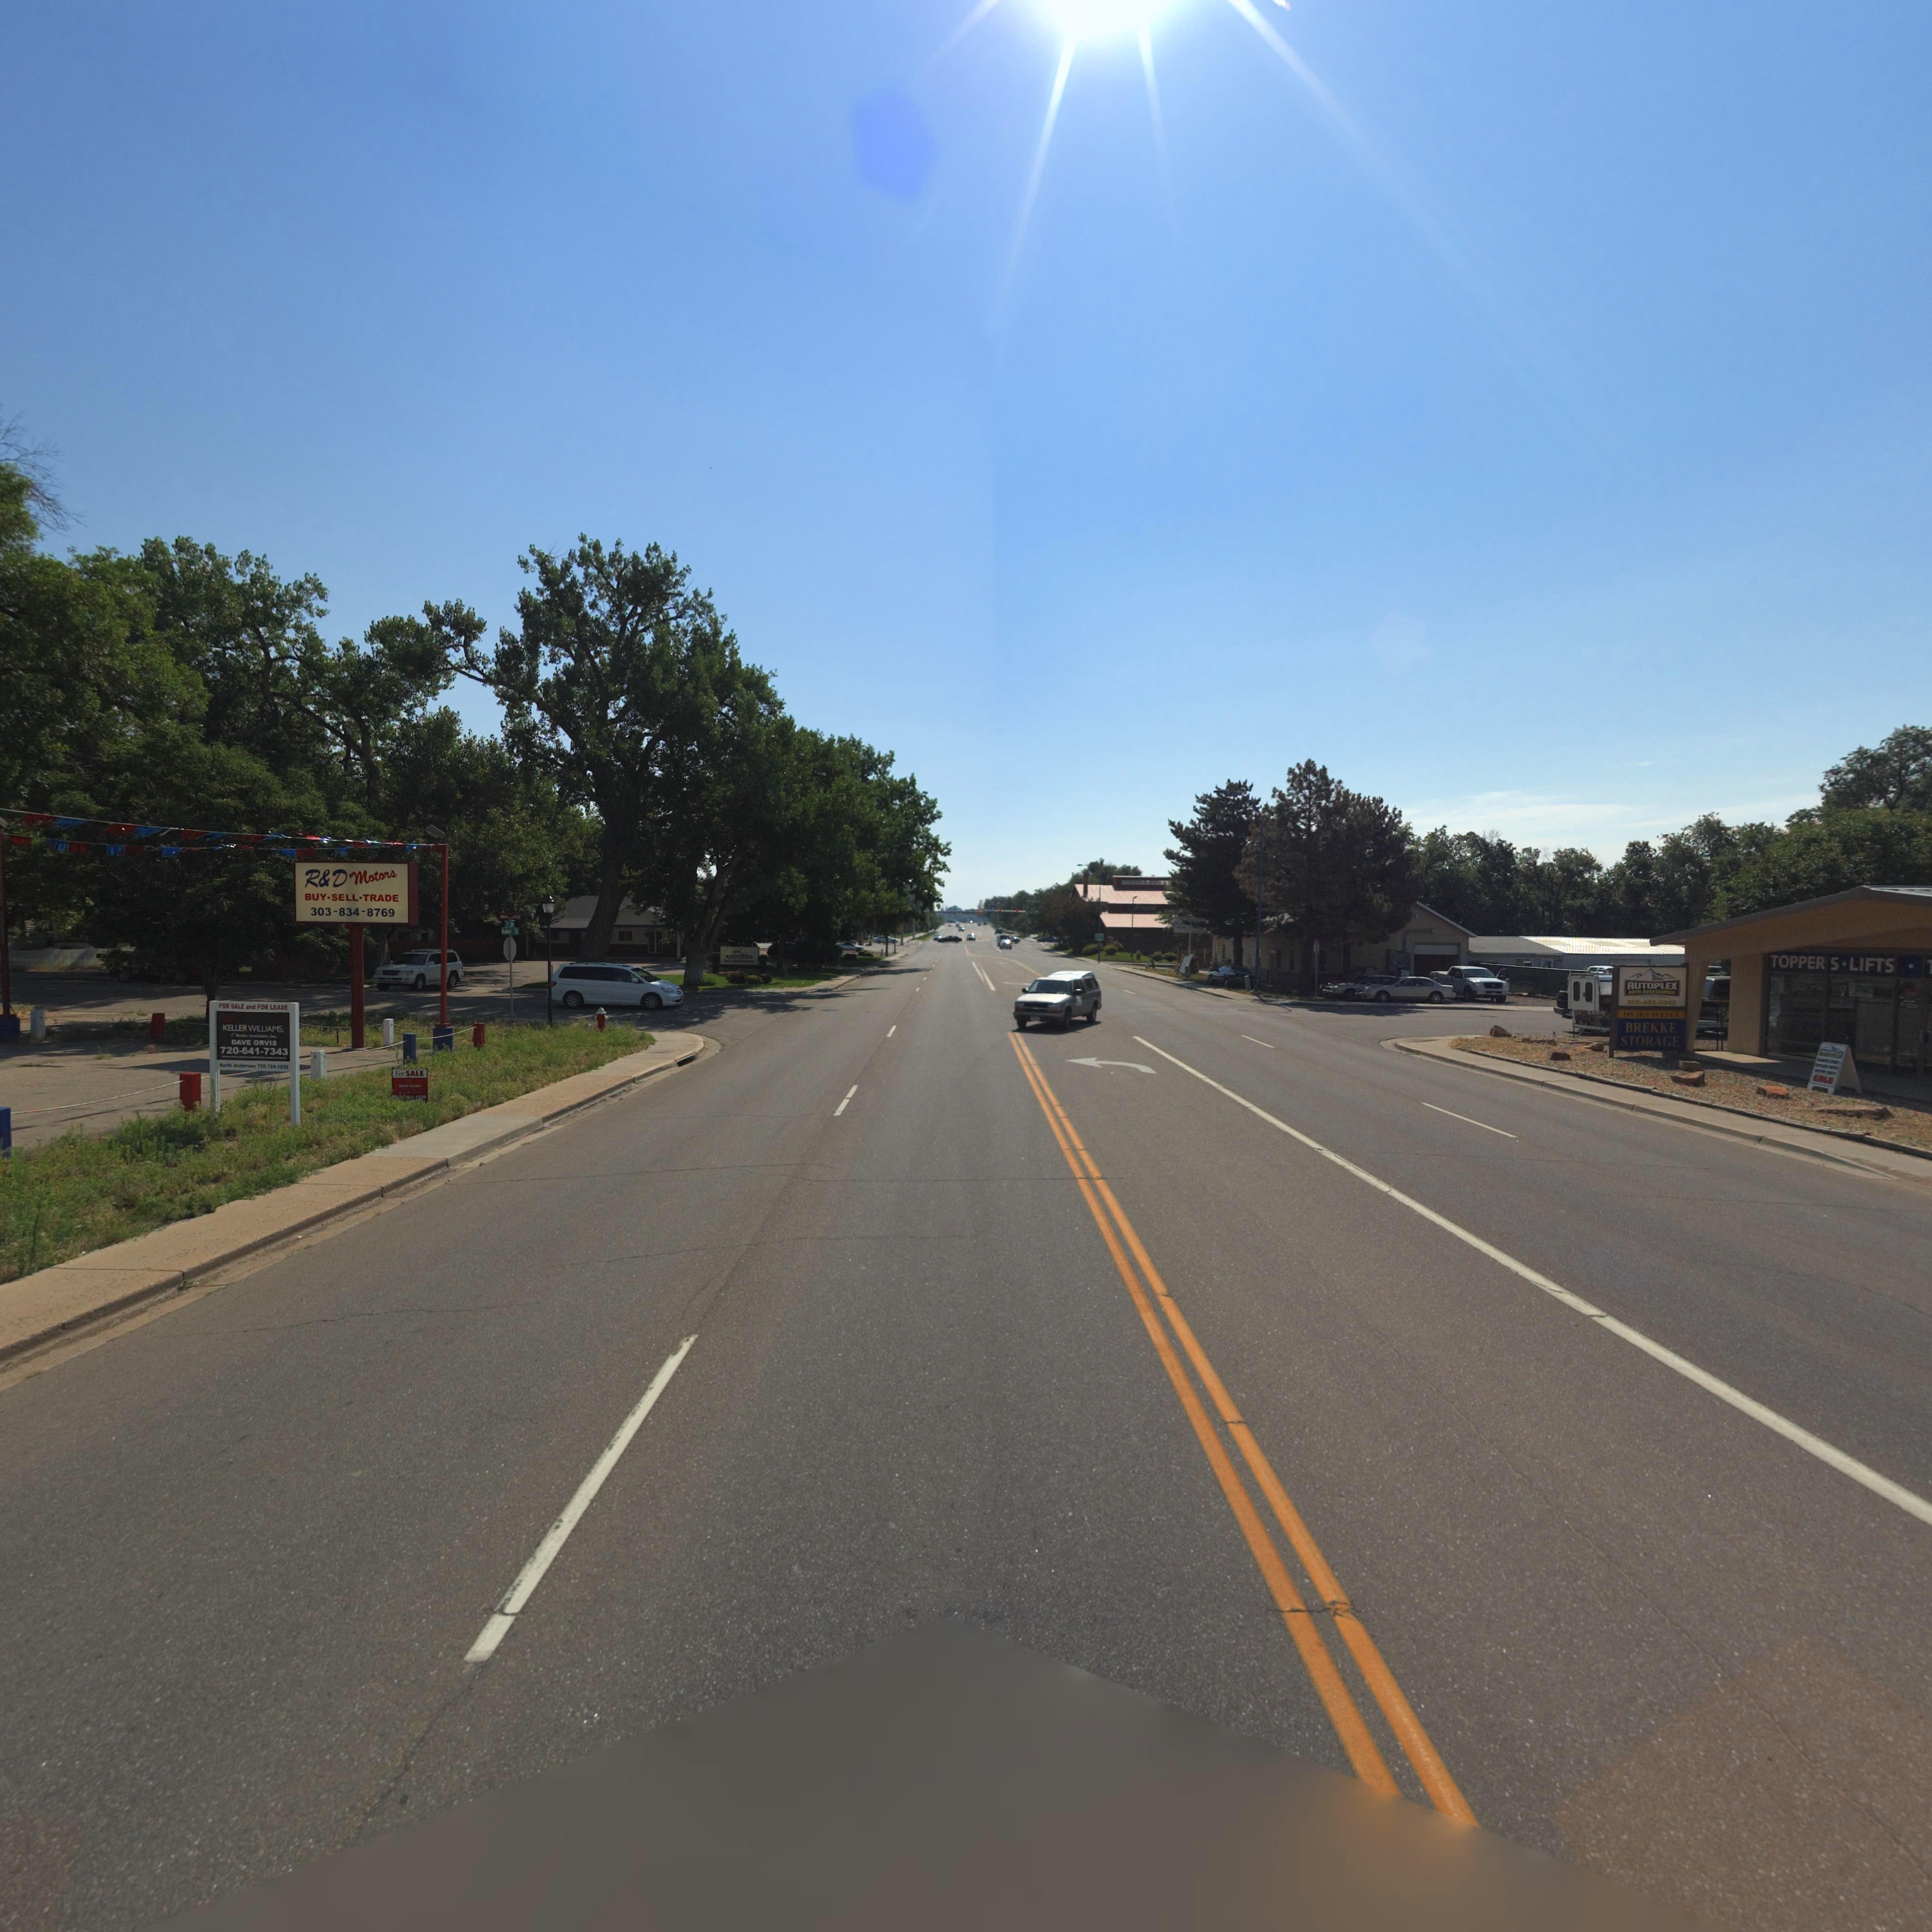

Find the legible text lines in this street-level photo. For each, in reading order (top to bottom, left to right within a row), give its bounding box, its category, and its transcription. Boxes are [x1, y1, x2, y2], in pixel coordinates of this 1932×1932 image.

[304, 868, 348, 888] BusinessName: R*D
[348, 869, 397, 885] BusinessName: Motors
[505, 921, 514, 927] StreetName: 3* **
[501, 927, 519, 934] StreetName: Baker St
[1771, 955, 1894, 972] BusinessName: TOPPER S LIFTS
[1626, 981, 1677, 990] BusinessName: AUTOPLEX
[1623, 1011, 1634, 1017] StreetNumber: 105
[1635, 1011, 1681, 1018] StreetName: 3RD AVENUE
[1625, 1021, 1677, 1034] BusinessName: BREKKE
[1620, 1034, 1681, 1047] BusinessName: STORAGE